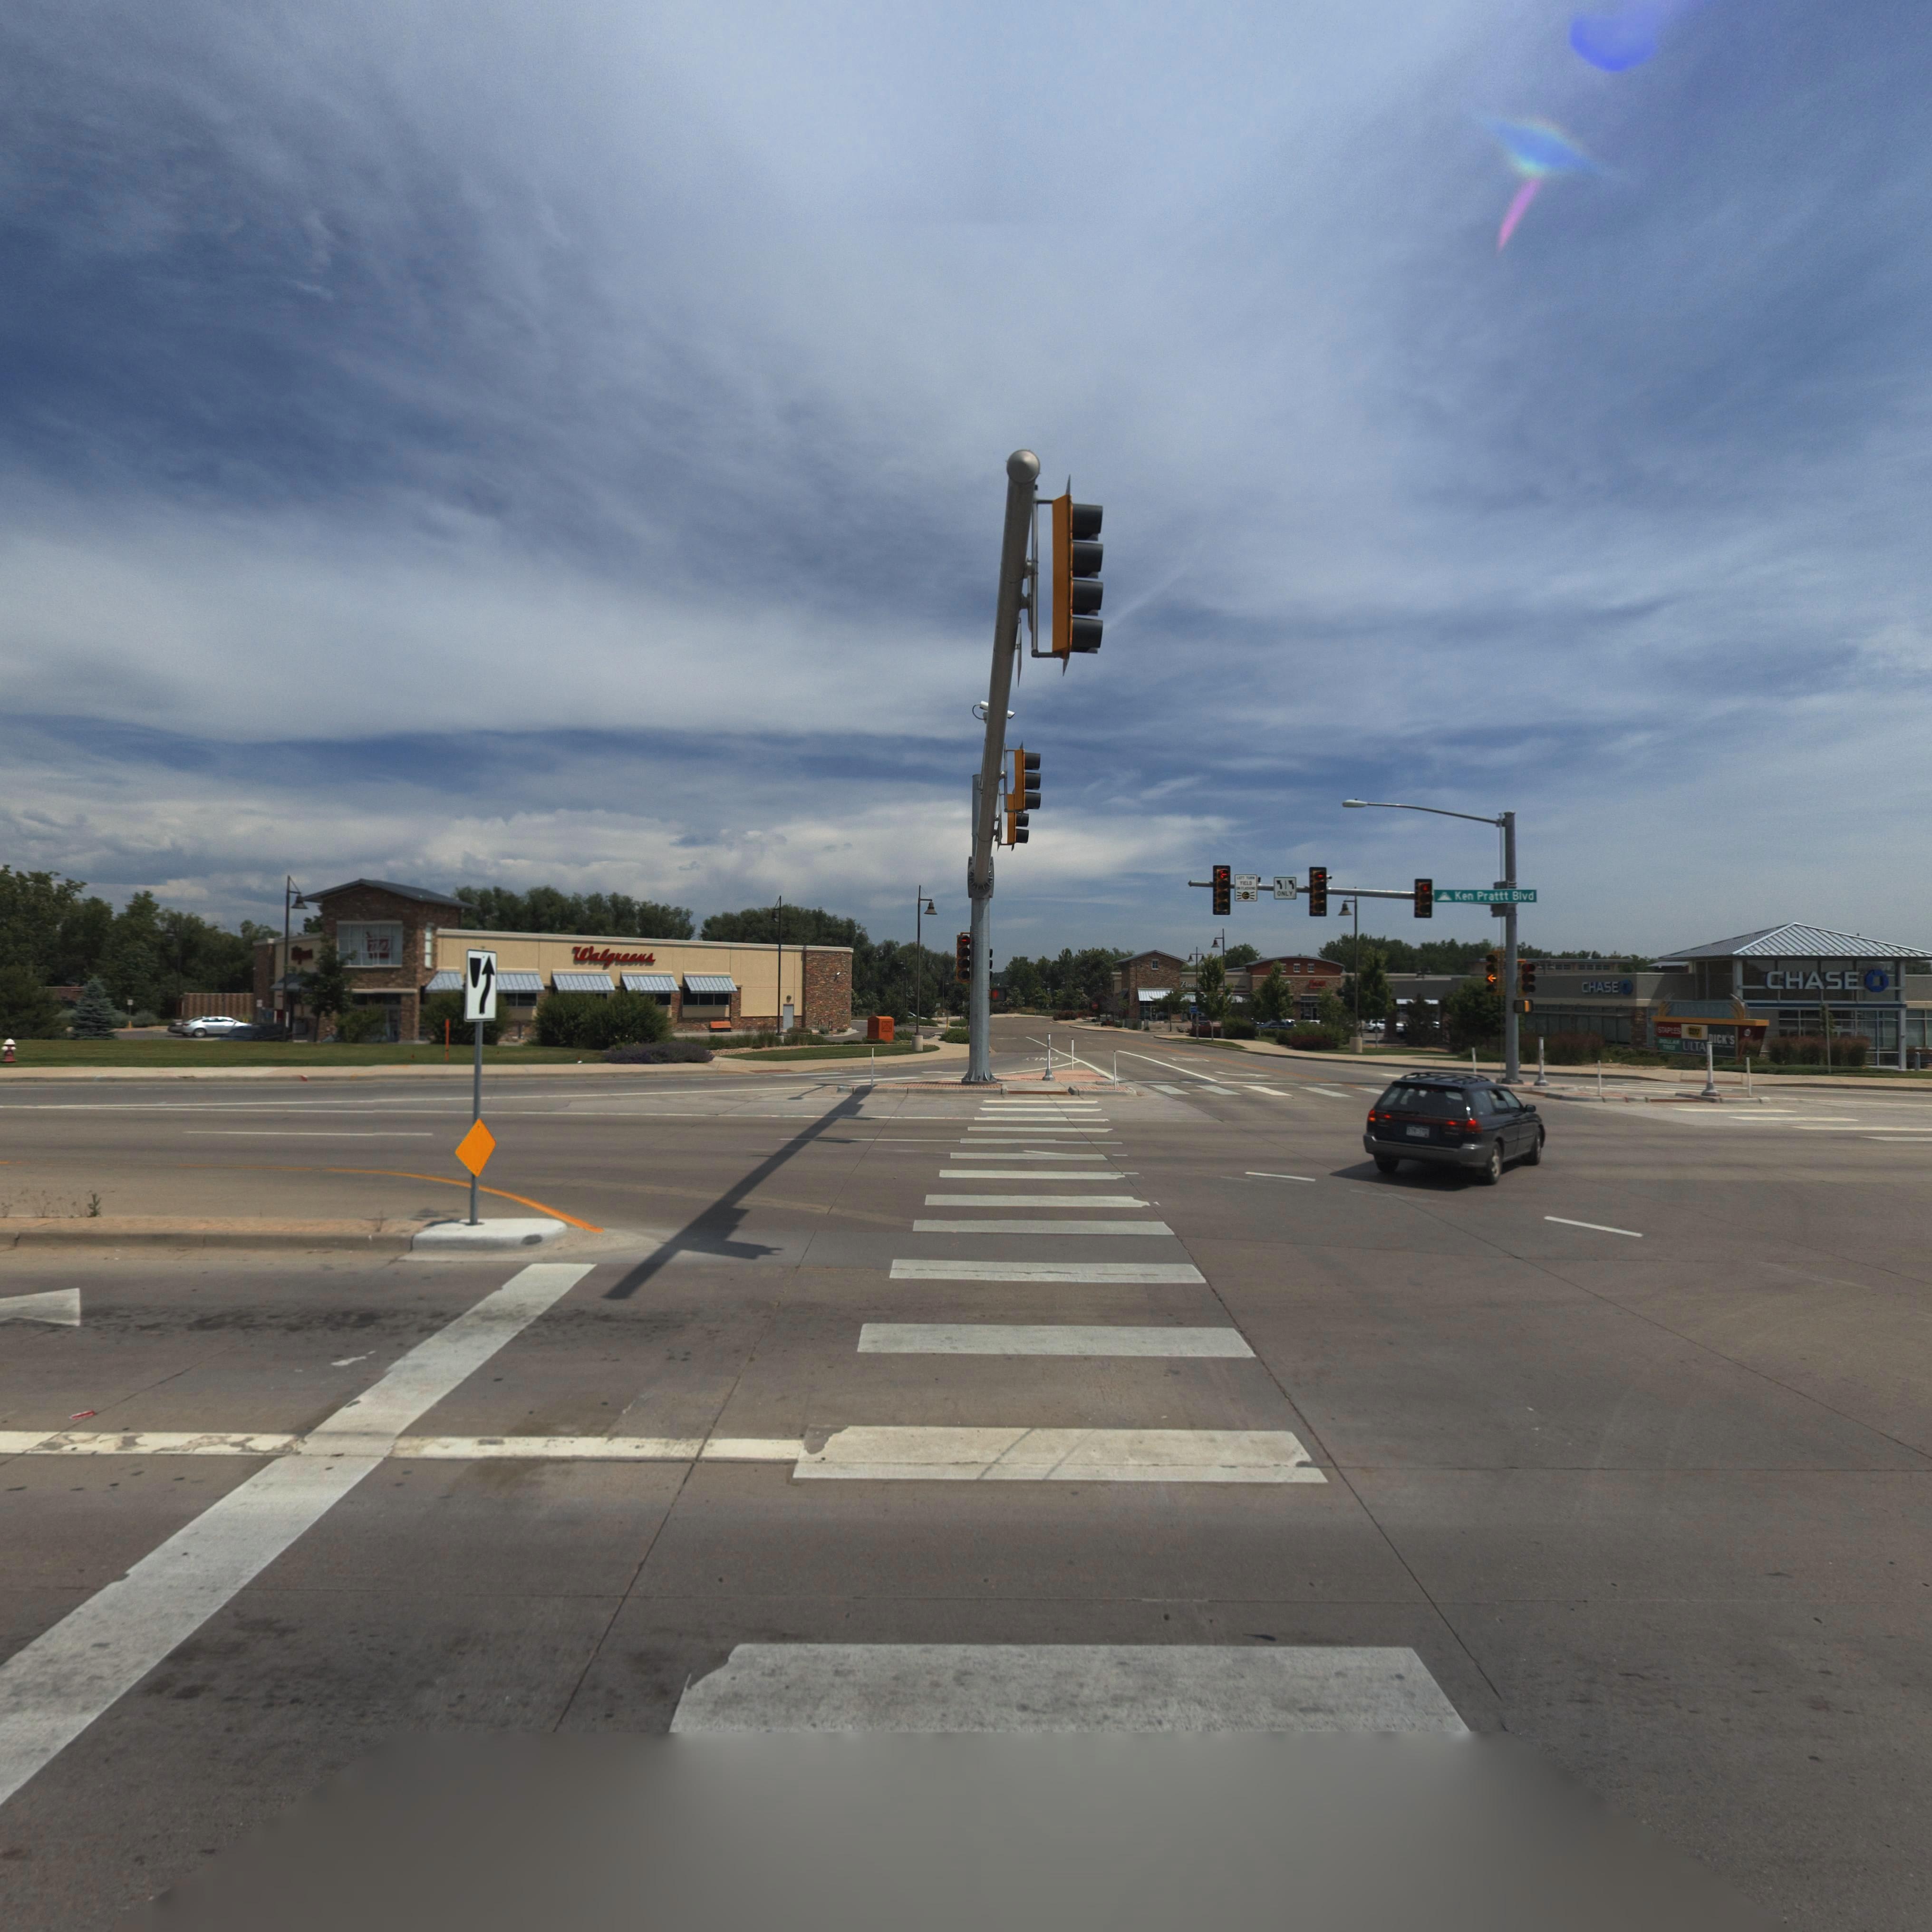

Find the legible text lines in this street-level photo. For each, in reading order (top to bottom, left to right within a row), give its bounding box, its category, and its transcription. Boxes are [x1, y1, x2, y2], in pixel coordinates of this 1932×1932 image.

[1454, 890, 1534, 900] StreetName: Ken Prattt Blvd
[372, 940, 391, 954] BusinessName: W
[572, 945, 657, 967] BusinessName: Walgreens
[1179, 981, 1197, 988] BusinessName: Pier*
[1581, 981, 1619, 993] BusinessName: CHASE
[1766, 970, 1861, 990] BusinessName: CHASE
[1657, 1026, 1681, 1034] BusinessName: S*APLES
[1662, 1044, 1675, 1051] BusinessName: T*E*
[1659, 1038, 1680, 1045] BusinessName: DOLL**
[1682, 1040, 1707, 1053] BusinessName: ULTA
[1709, 1034, 1735, 1045] BusinessName: DICK'S